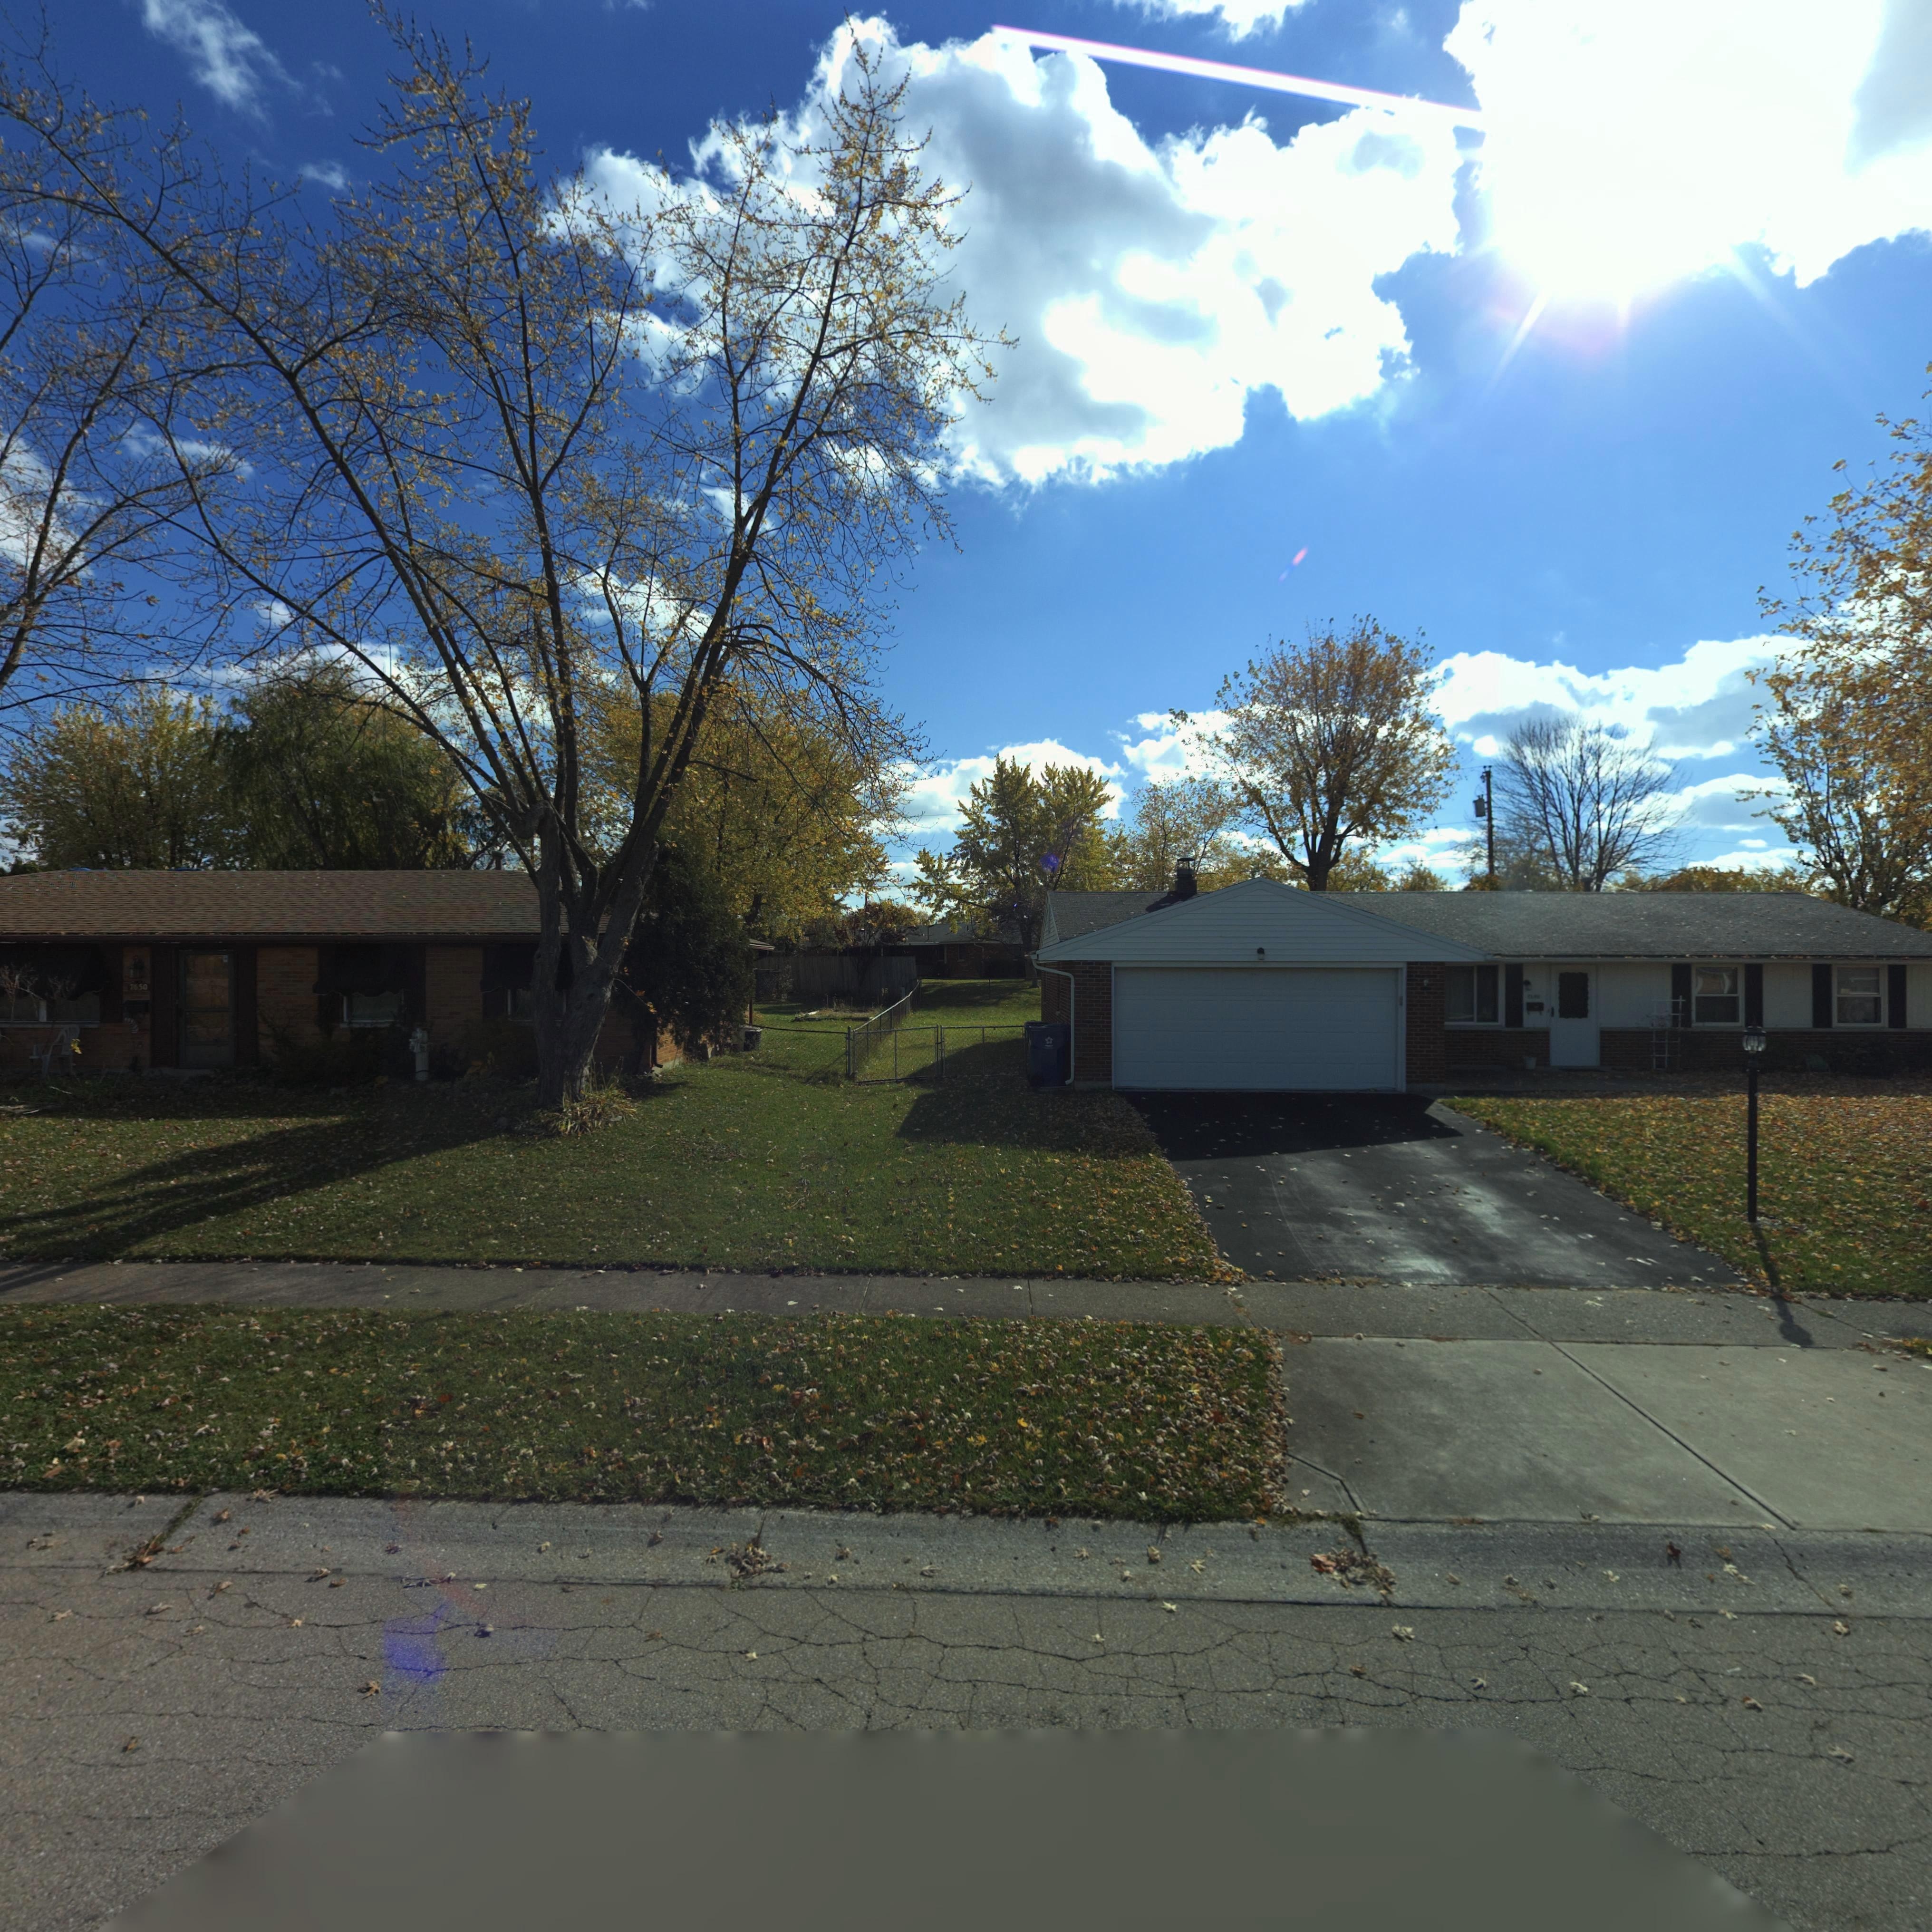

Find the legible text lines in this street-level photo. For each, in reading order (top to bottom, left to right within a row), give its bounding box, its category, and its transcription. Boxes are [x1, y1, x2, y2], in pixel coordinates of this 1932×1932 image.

[129, 983, 148, 991] StreetNumber: 7650
[1526, 994, 1540, 999] StreetNumber: 7640